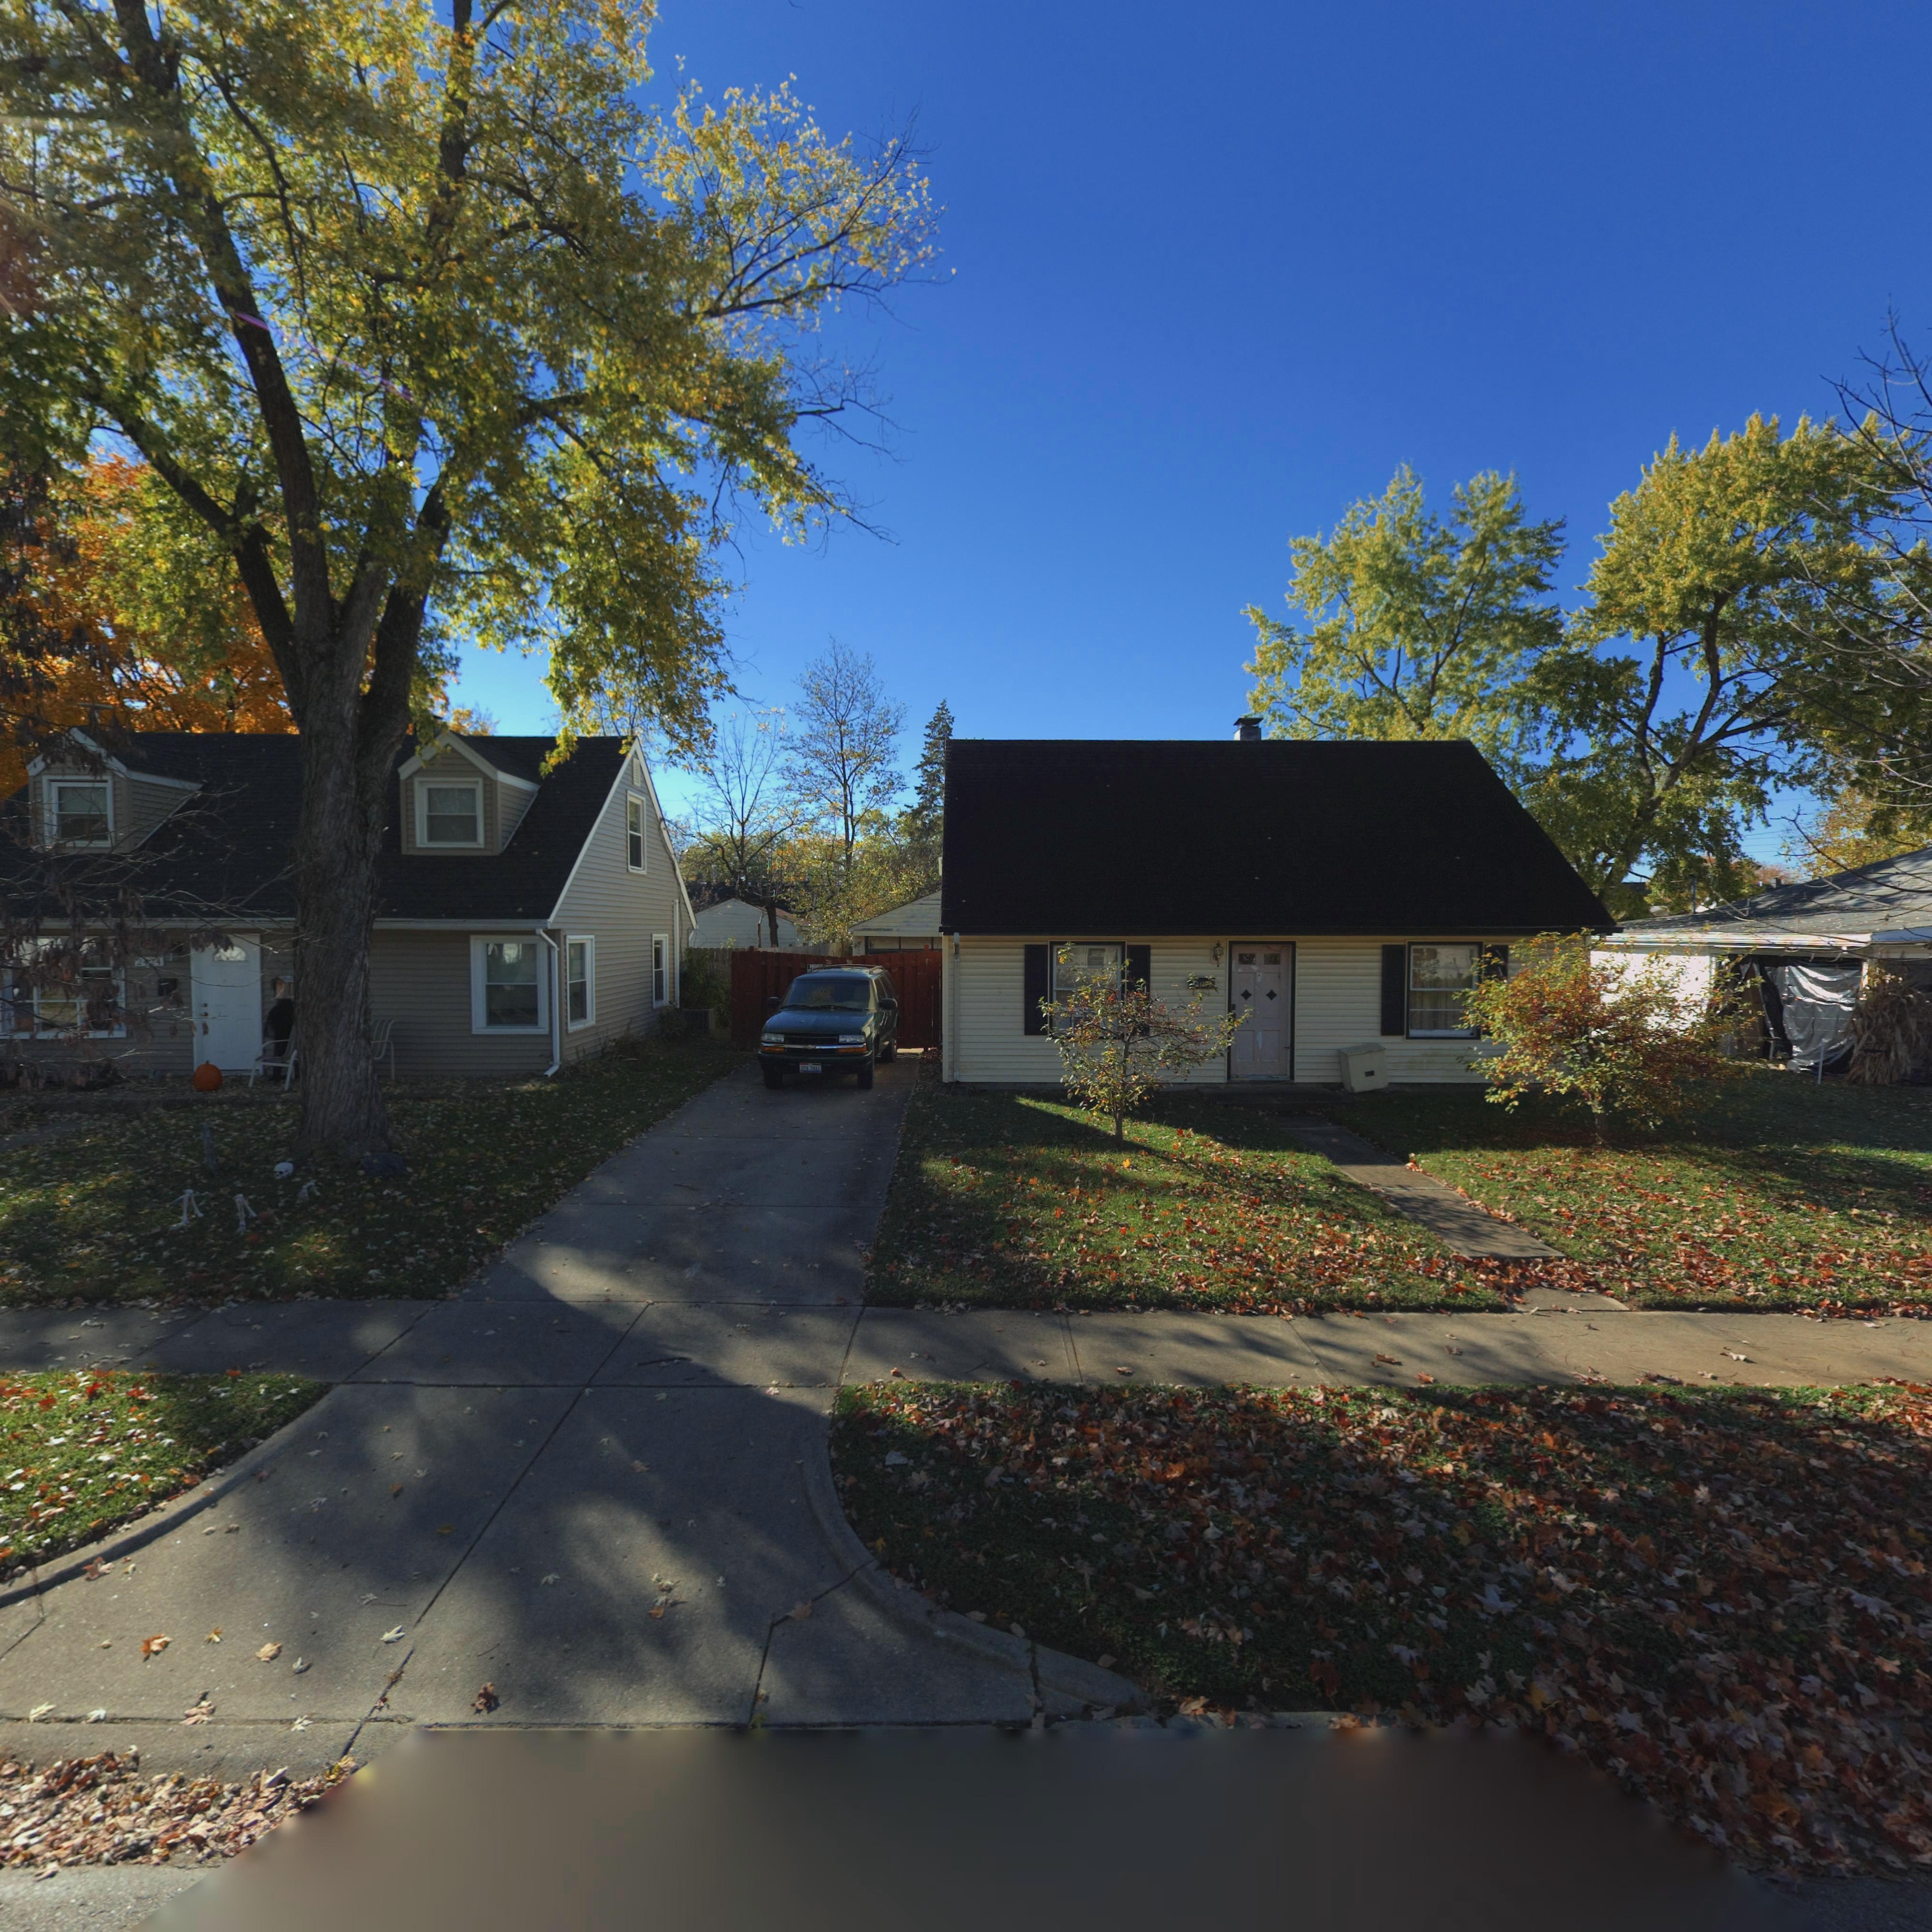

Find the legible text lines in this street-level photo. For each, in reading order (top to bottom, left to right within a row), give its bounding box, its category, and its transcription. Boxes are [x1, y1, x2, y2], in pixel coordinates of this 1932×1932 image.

[135, 956, 162, 966] StreetNumber: 2**4